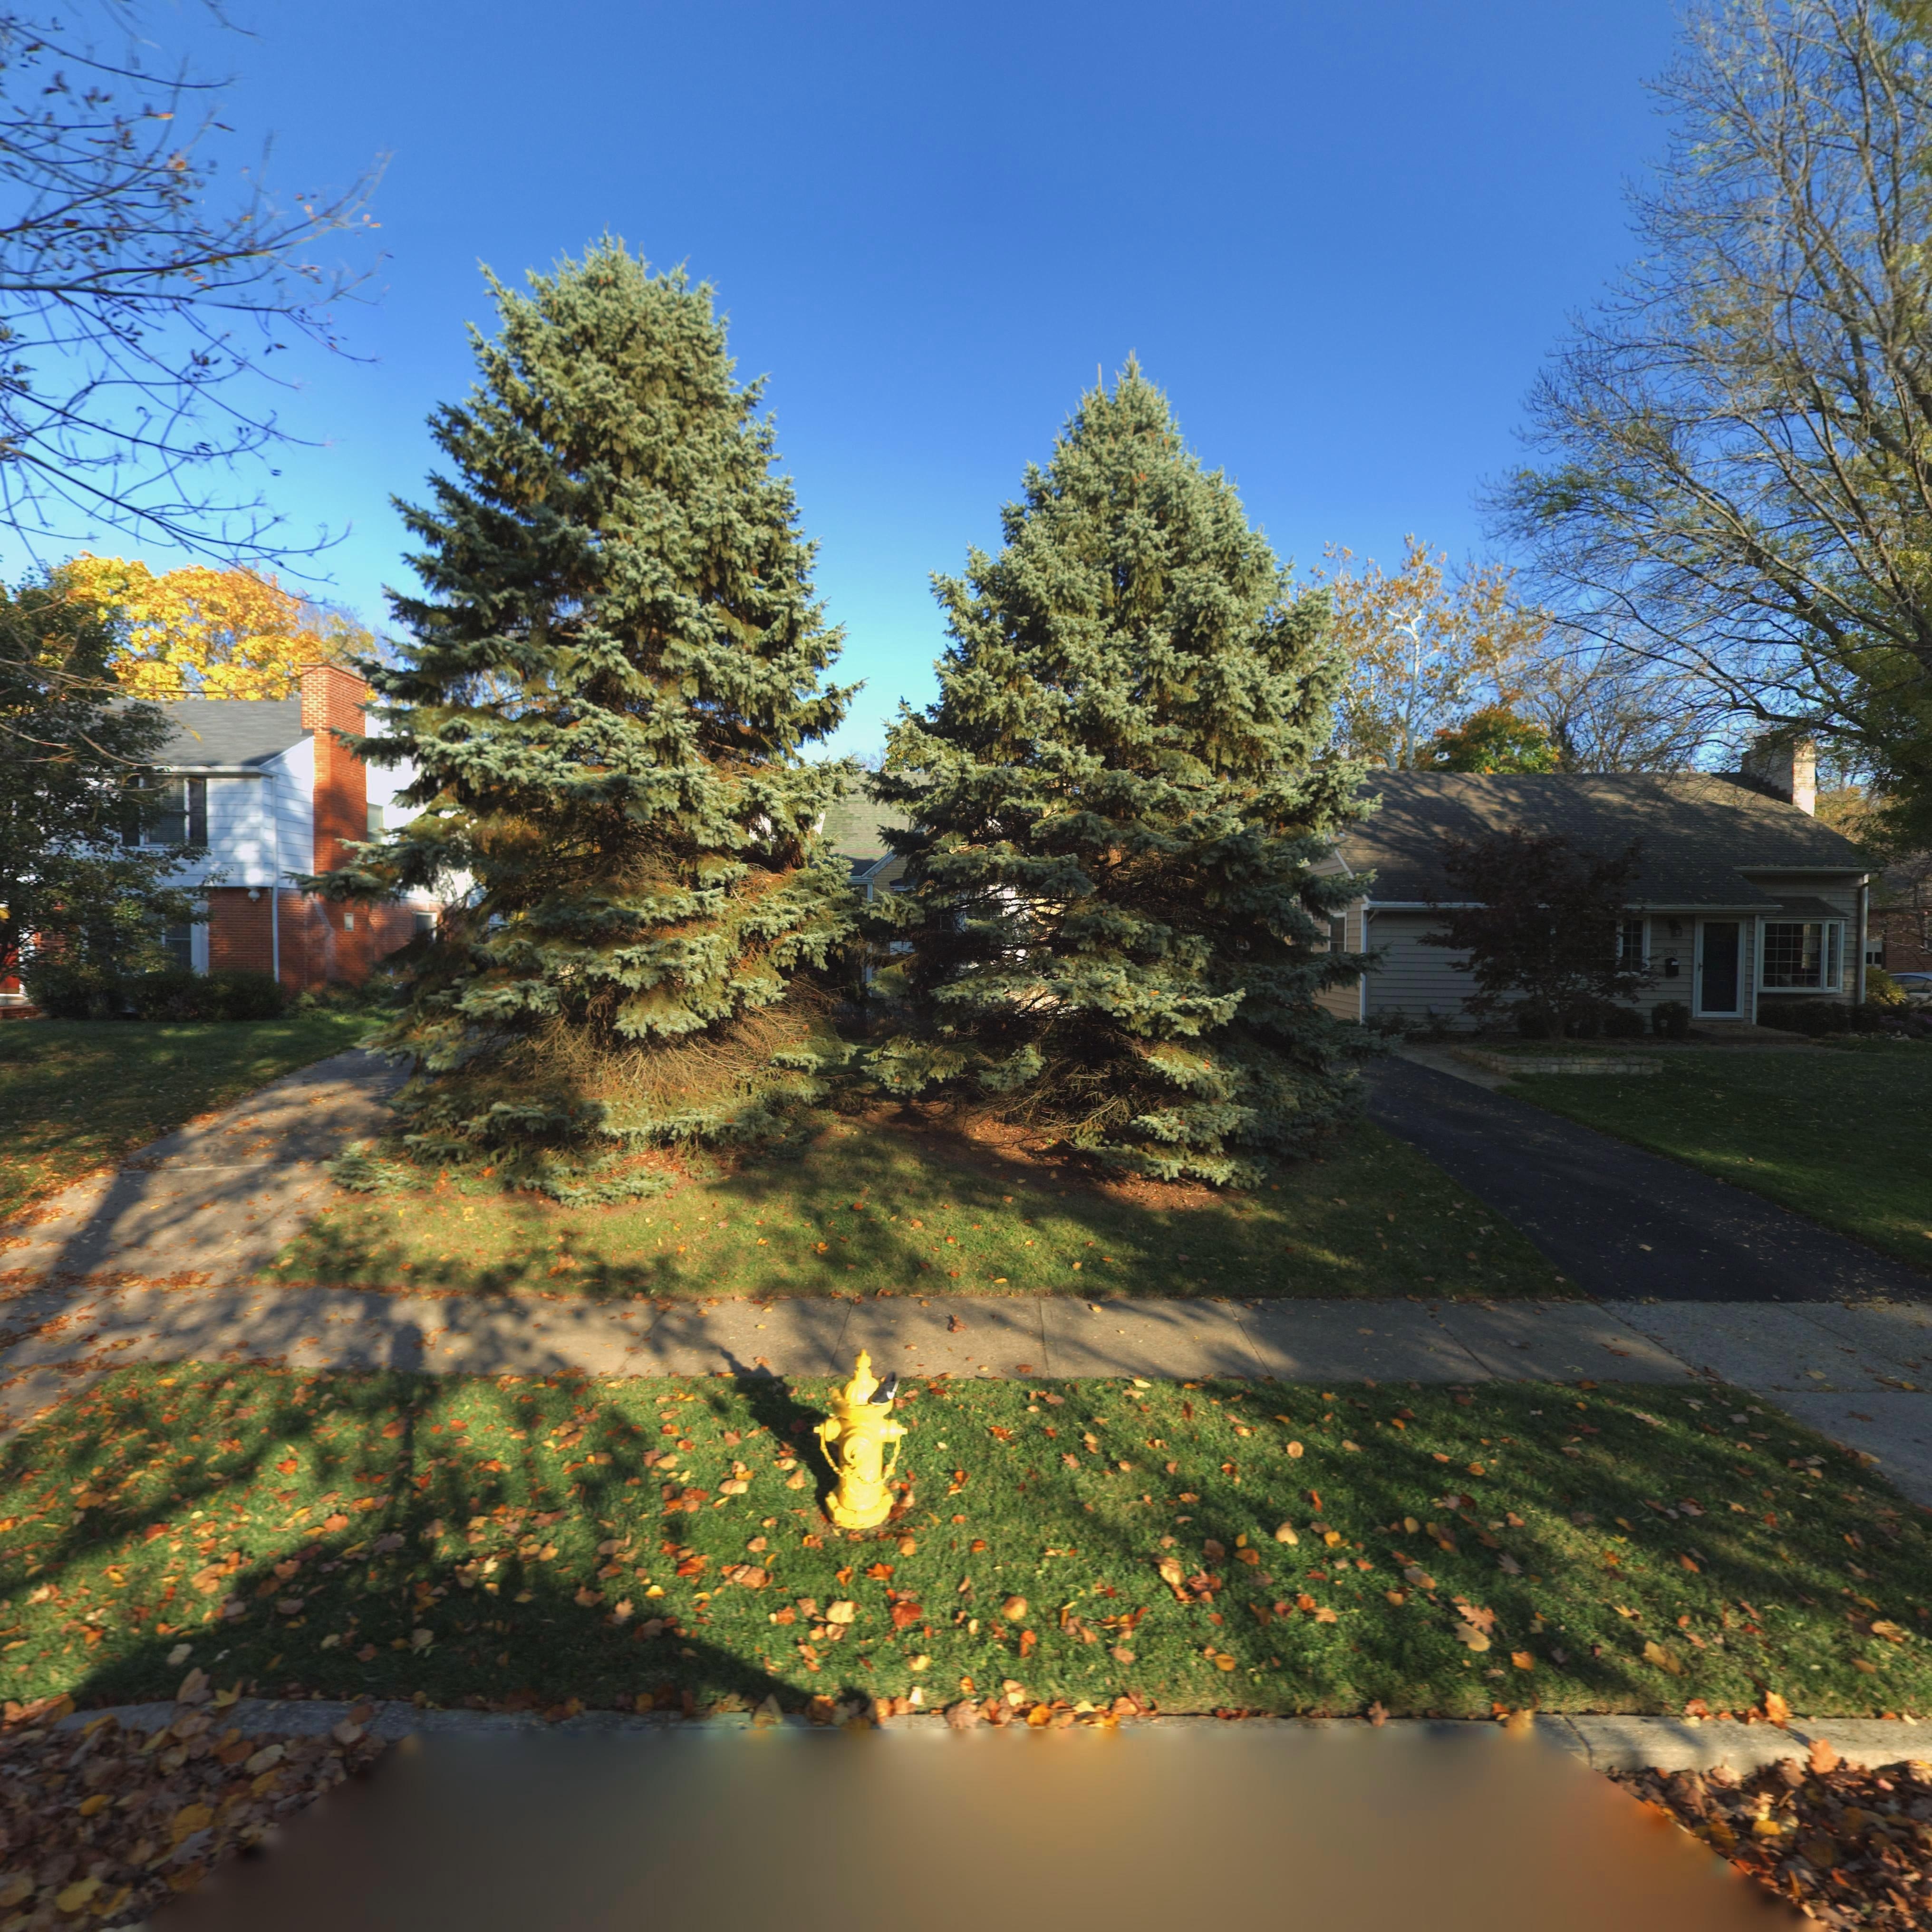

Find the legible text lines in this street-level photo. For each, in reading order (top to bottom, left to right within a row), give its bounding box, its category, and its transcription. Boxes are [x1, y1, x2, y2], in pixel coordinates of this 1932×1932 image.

[1663, 947, 1677, 956] StreetNumber: 570